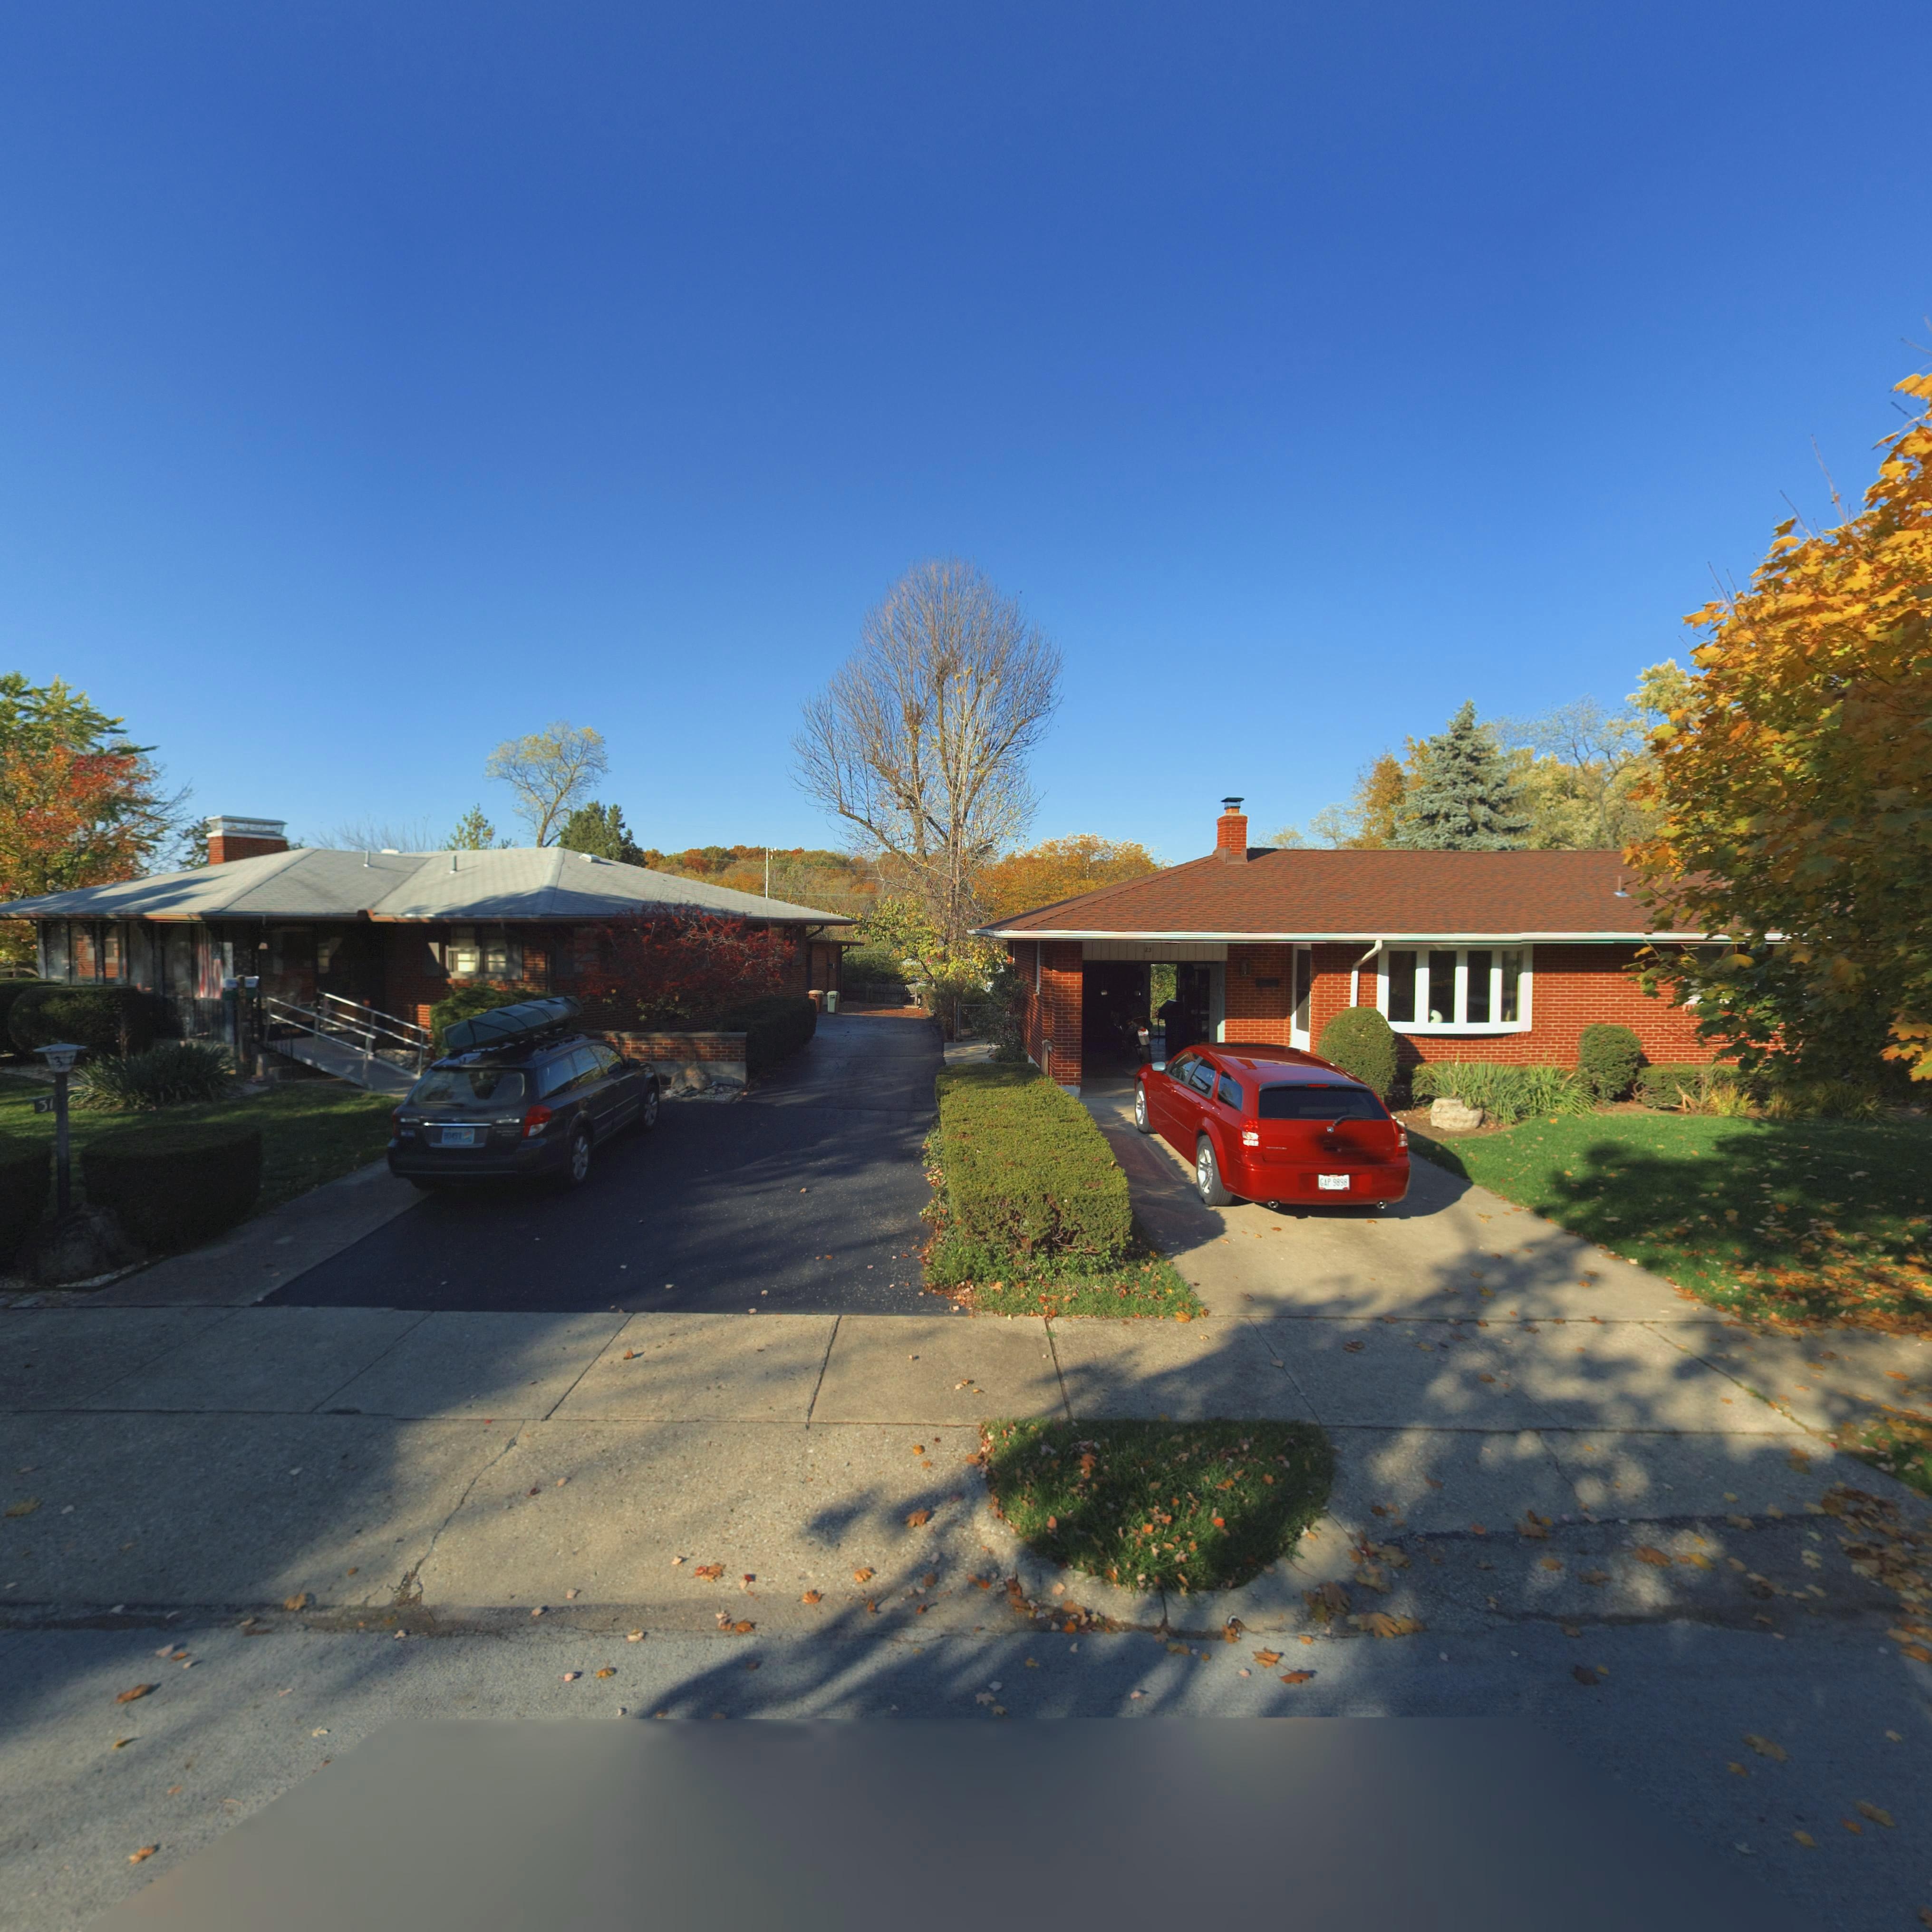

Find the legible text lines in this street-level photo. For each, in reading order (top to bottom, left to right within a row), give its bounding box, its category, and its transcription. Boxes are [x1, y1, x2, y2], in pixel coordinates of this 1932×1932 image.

[1144, 947, 1152, 953] StreetNumber: 23
[239, 988, 247, 997] StreetNumber: 3
[53, 1054, 75, 1070] StreetNumber: 31
[38, 1097, 54, 1113] StreetNumber: 31